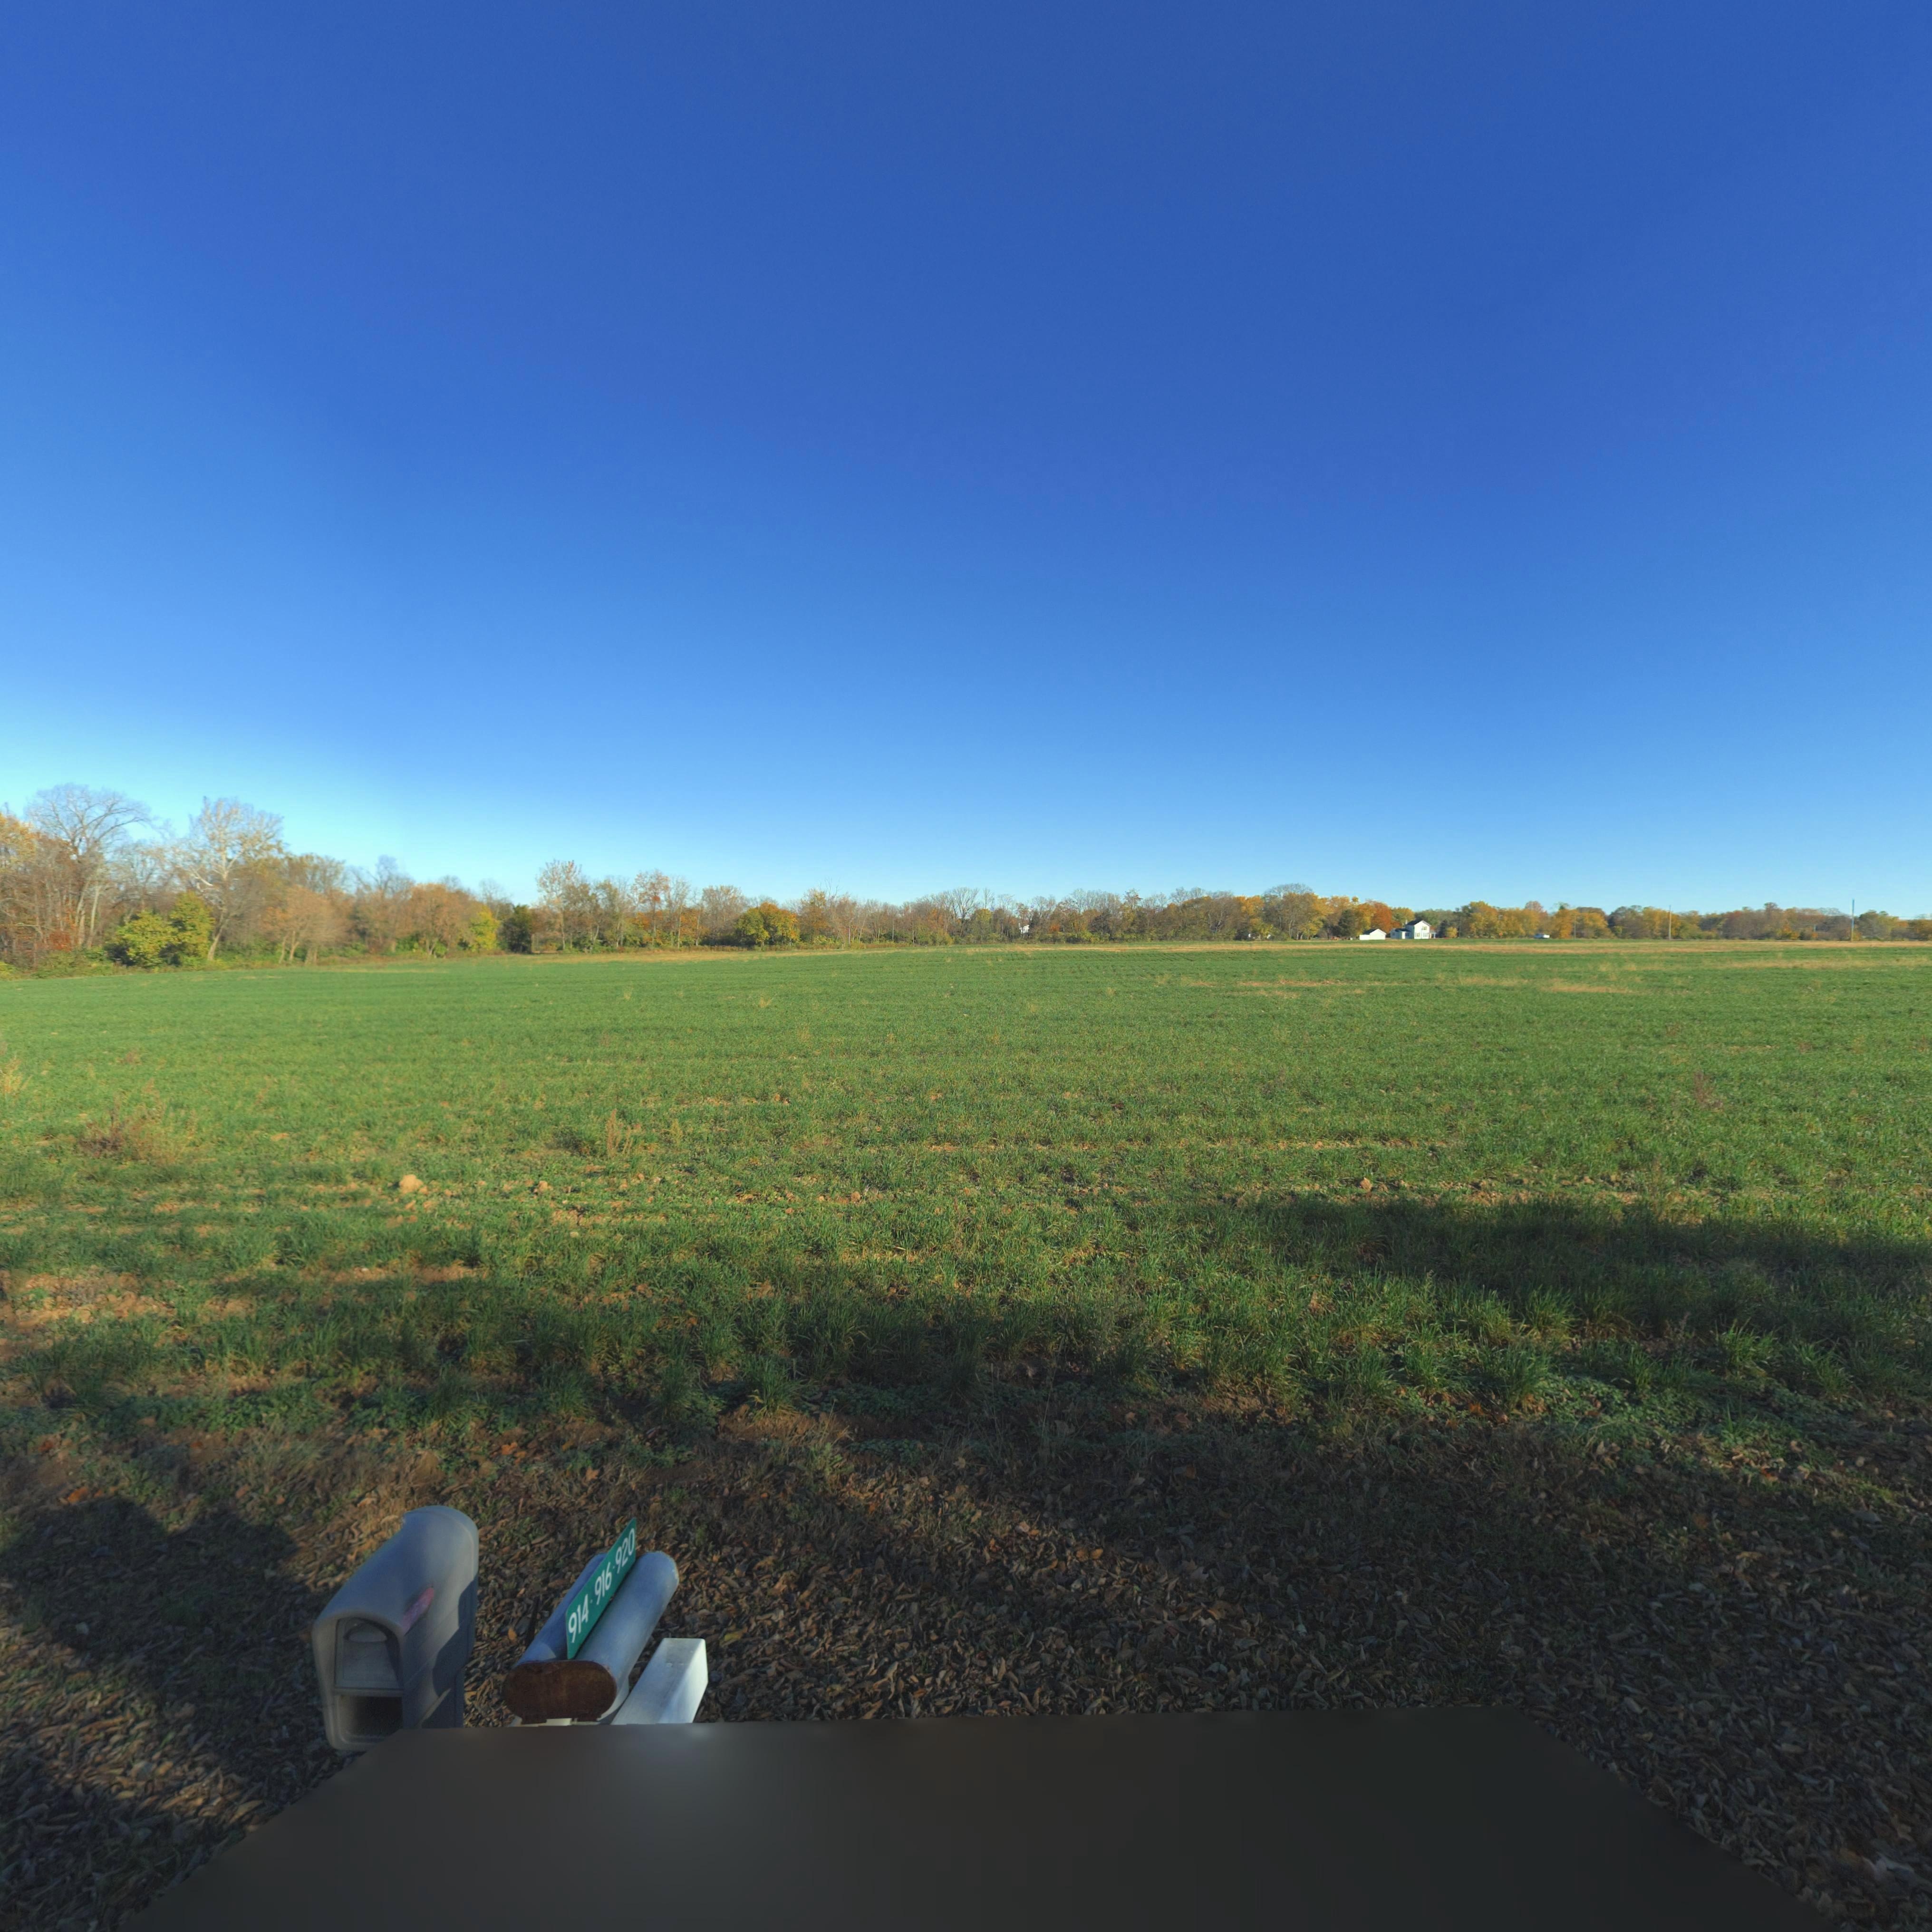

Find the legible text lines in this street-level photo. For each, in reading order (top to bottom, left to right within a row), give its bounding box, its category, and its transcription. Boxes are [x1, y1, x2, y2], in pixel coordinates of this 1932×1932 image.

[615, 1527, 636, 1575] StreetNumber: 920
[593, 1561, 612, 1606] StreetNumber: 916
[566, 1591, 590, 1644] StreetNumber: 914